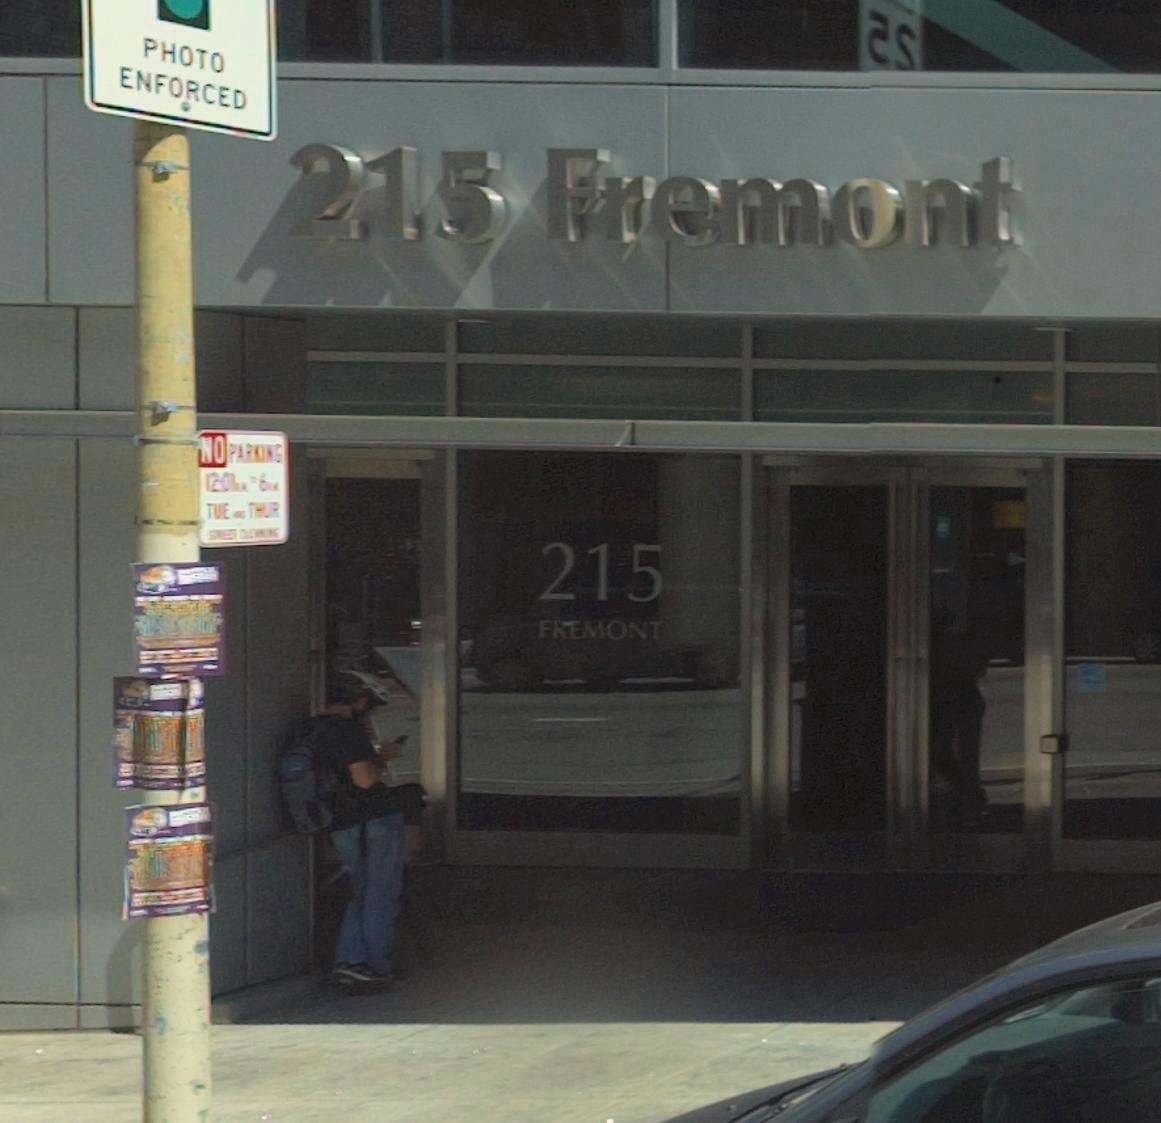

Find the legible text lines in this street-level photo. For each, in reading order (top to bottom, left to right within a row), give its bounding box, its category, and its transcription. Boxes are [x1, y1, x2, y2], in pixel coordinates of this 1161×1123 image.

[140, 34, 229, 75] None: PHOTO
[117, 63, 247, 111] None: ENFORCED
[284, 141, 508, 248] StreetNumber: 215
[541, 144, 1027, 254] StreetName: Fremont
[199, 434, 284, 465] None: NO PARKING
[203, 469, 282, 495] None: 12:01AM TO 6AM
[204, 501, 283, 522] None: TUE AND THUR
[207, 527, 282, 542] None: STREET+CLEANING
[538, 541, 664, 602] StreetNumber: 215
[538, 619, 667, 640] StreetName: FREMONT